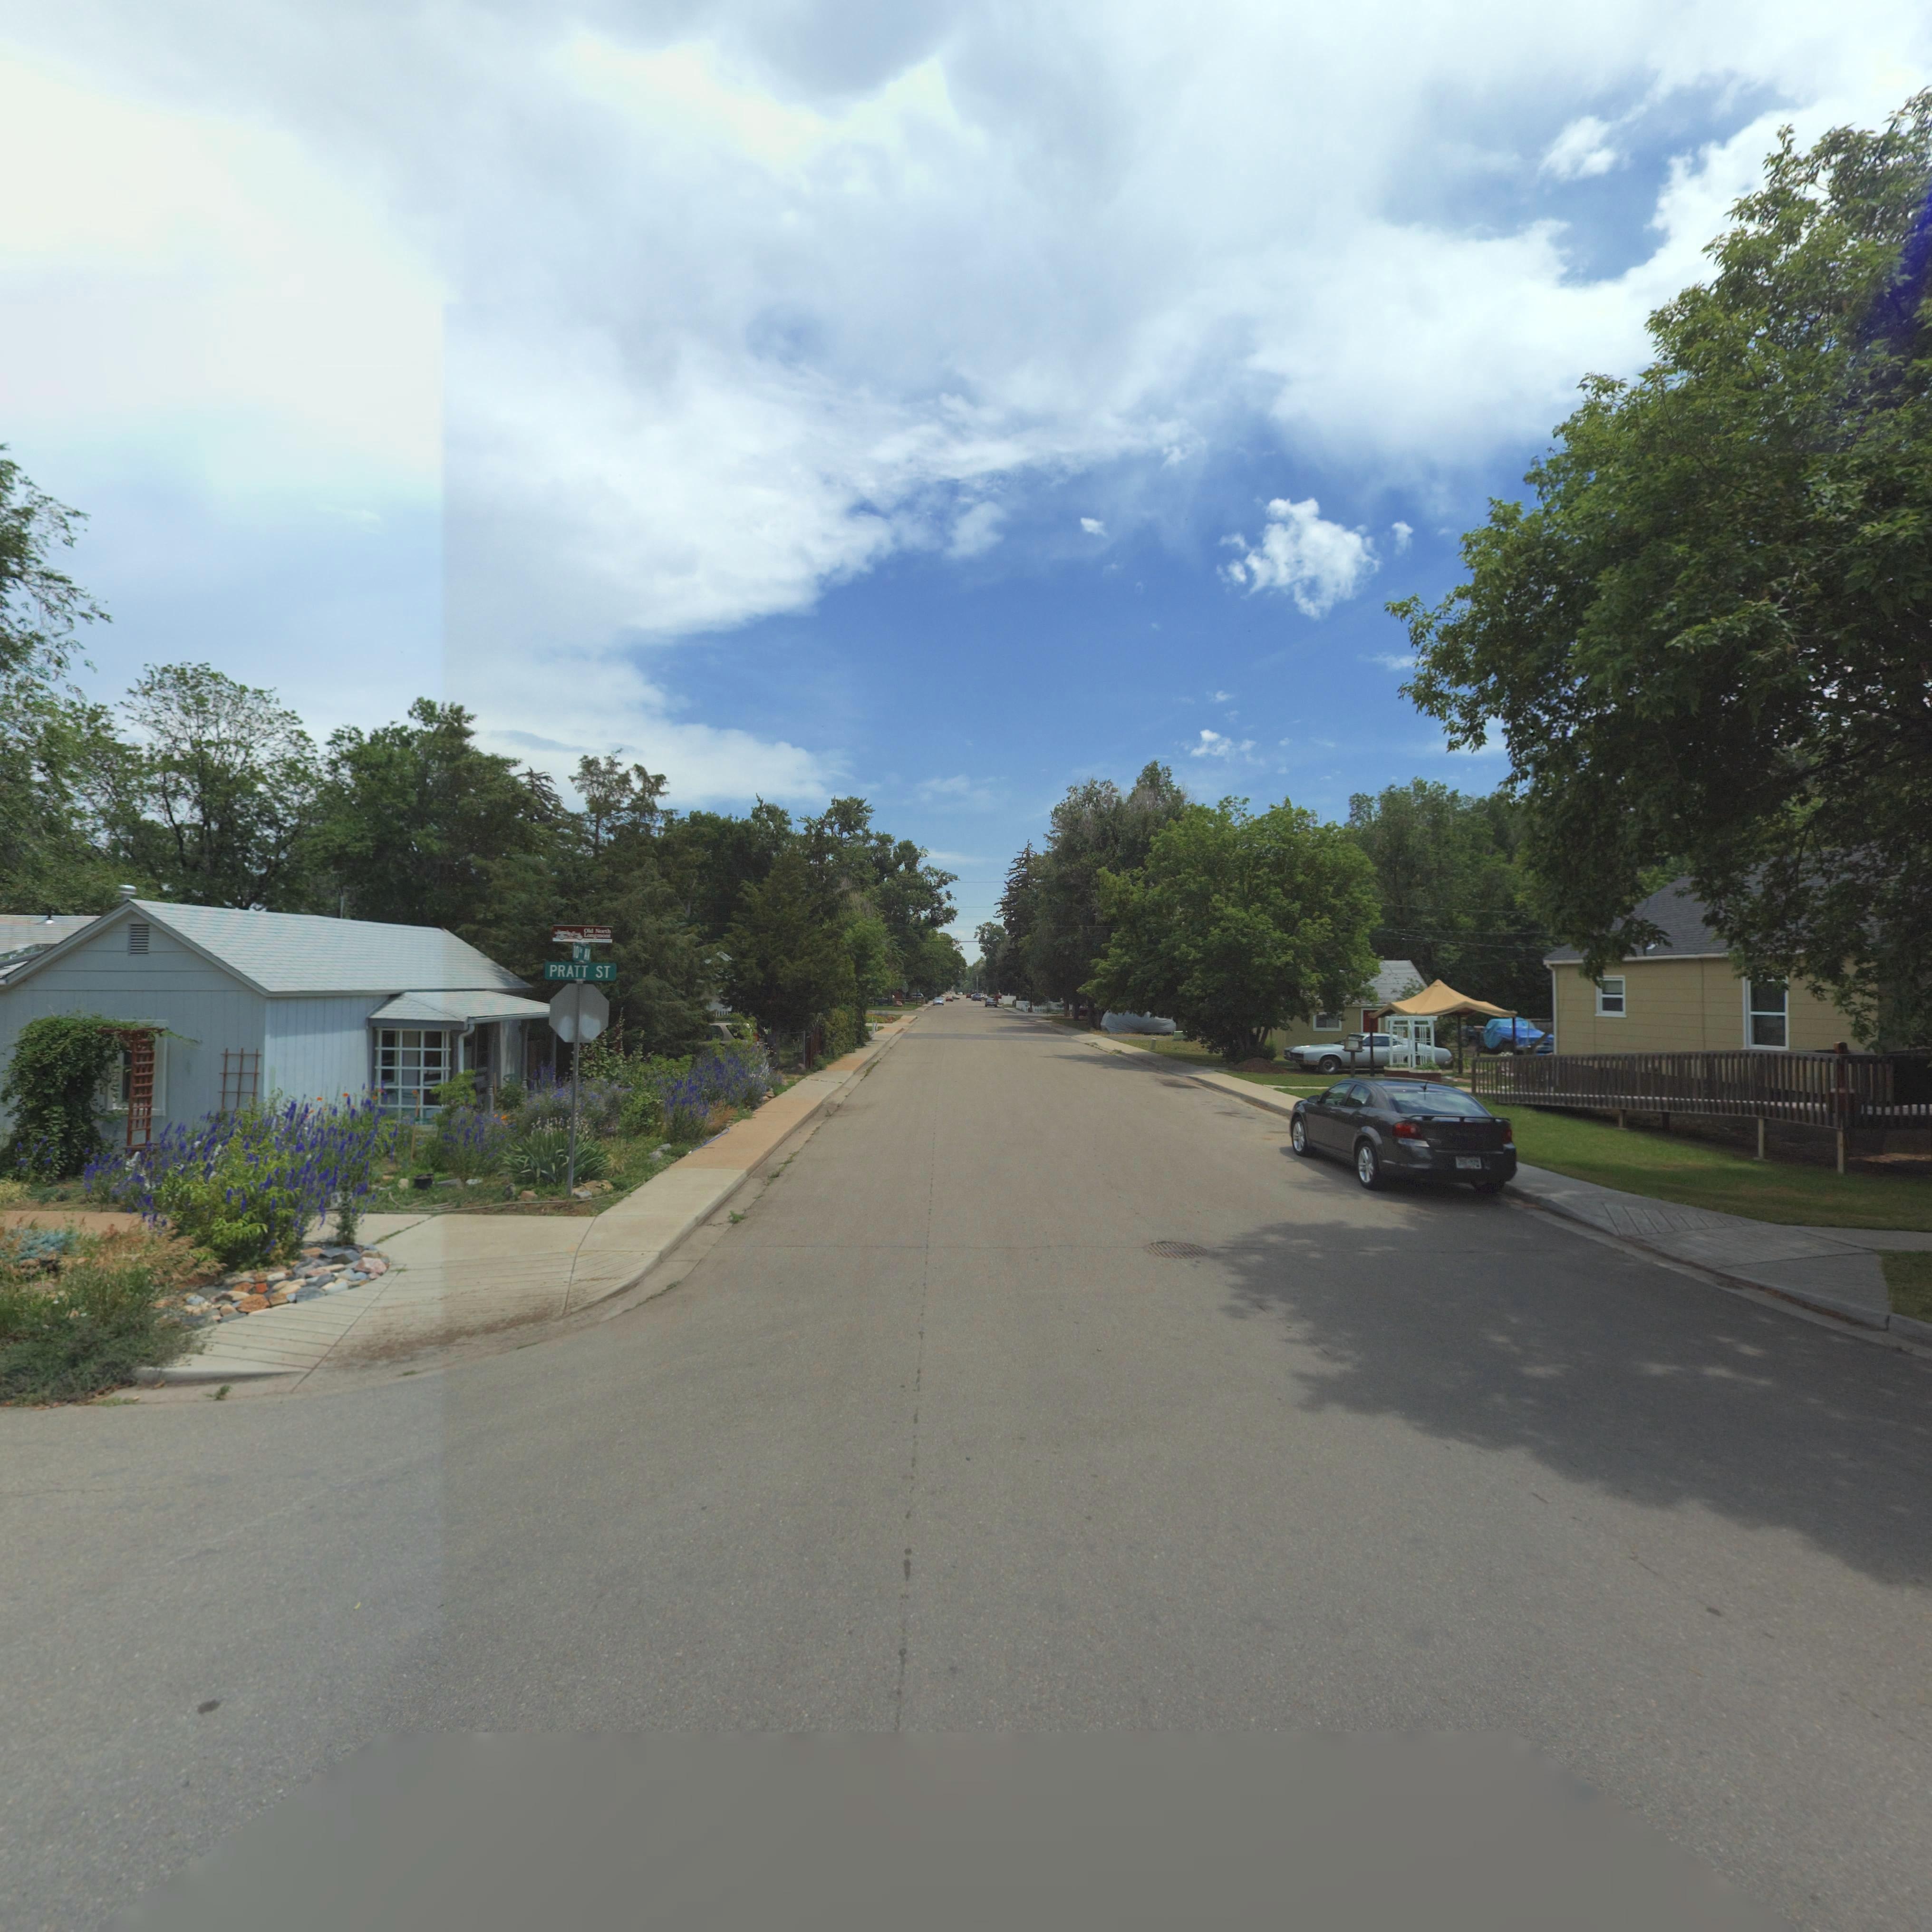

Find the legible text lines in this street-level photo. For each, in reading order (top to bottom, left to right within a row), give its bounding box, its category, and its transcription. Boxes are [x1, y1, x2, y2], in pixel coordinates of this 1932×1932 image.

[573, 945, 591, 961] StreetName: 10TH AV
[549, 964, 610, 978] StreetName: PRATT ST